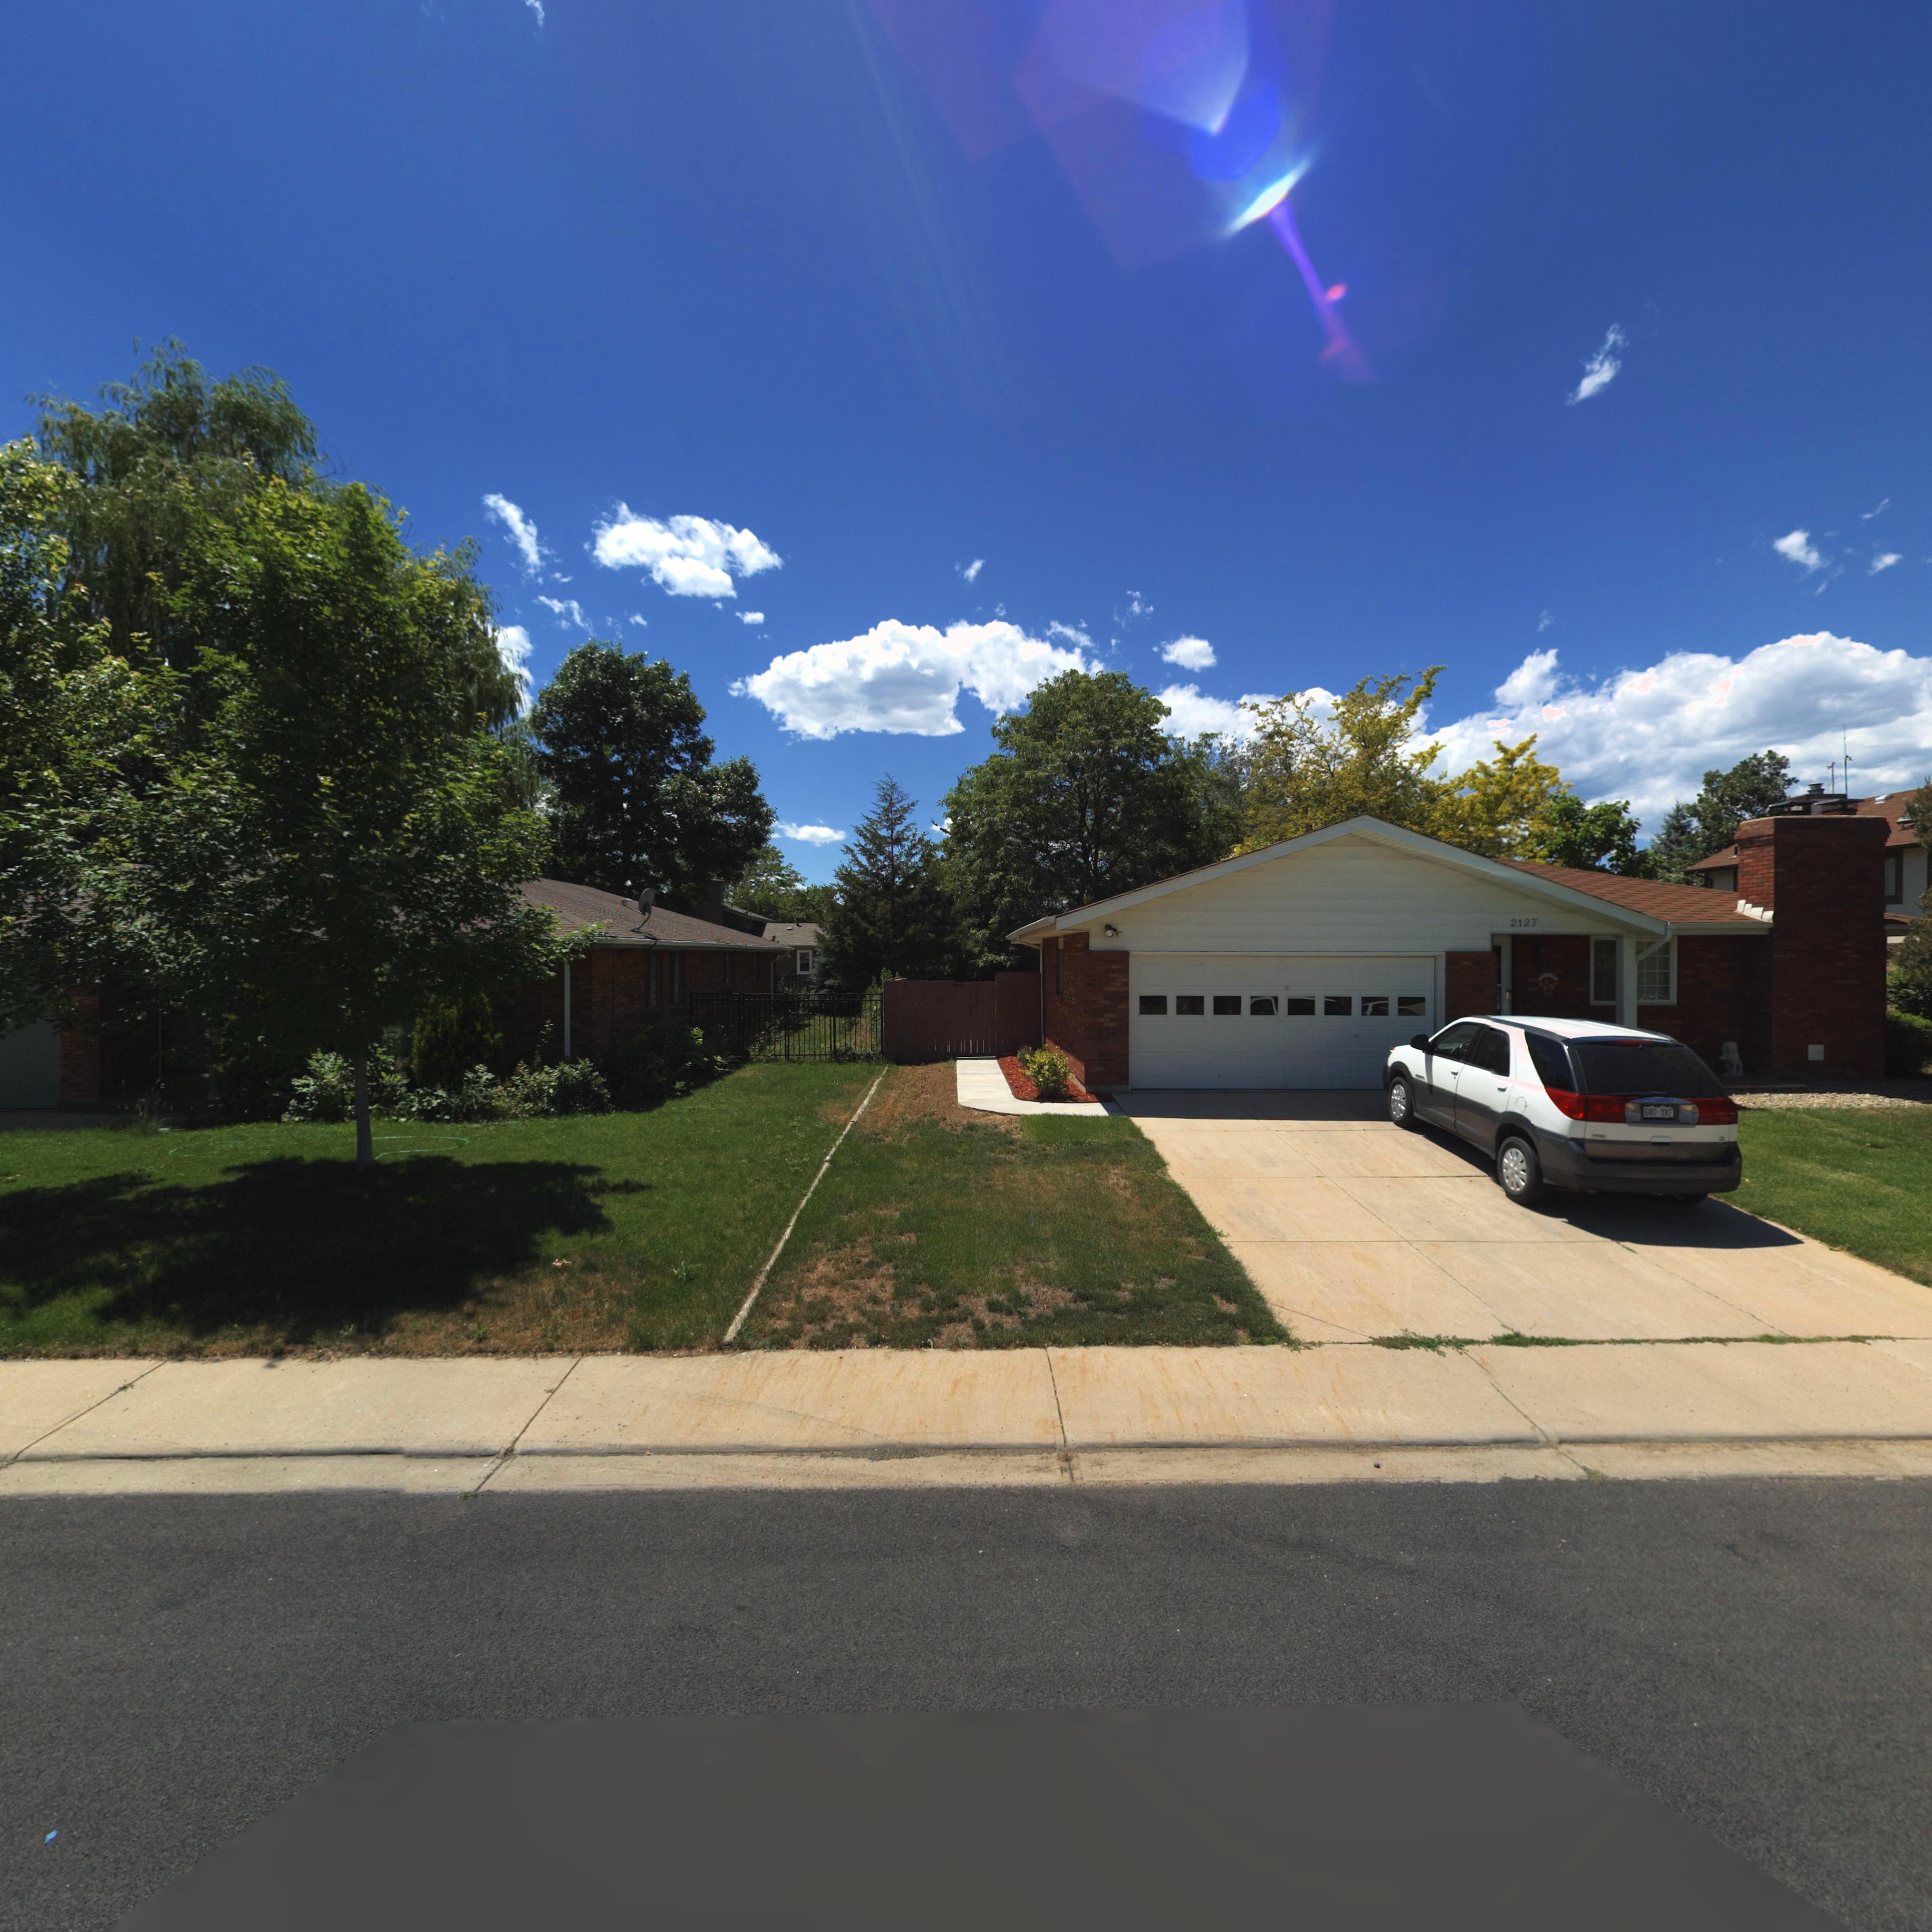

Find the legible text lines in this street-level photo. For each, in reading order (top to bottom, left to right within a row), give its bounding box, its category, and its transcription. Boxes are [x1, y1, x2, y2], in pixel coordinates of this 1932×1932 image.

[1510, 918, 1538, 927] StreetNumber: 2127